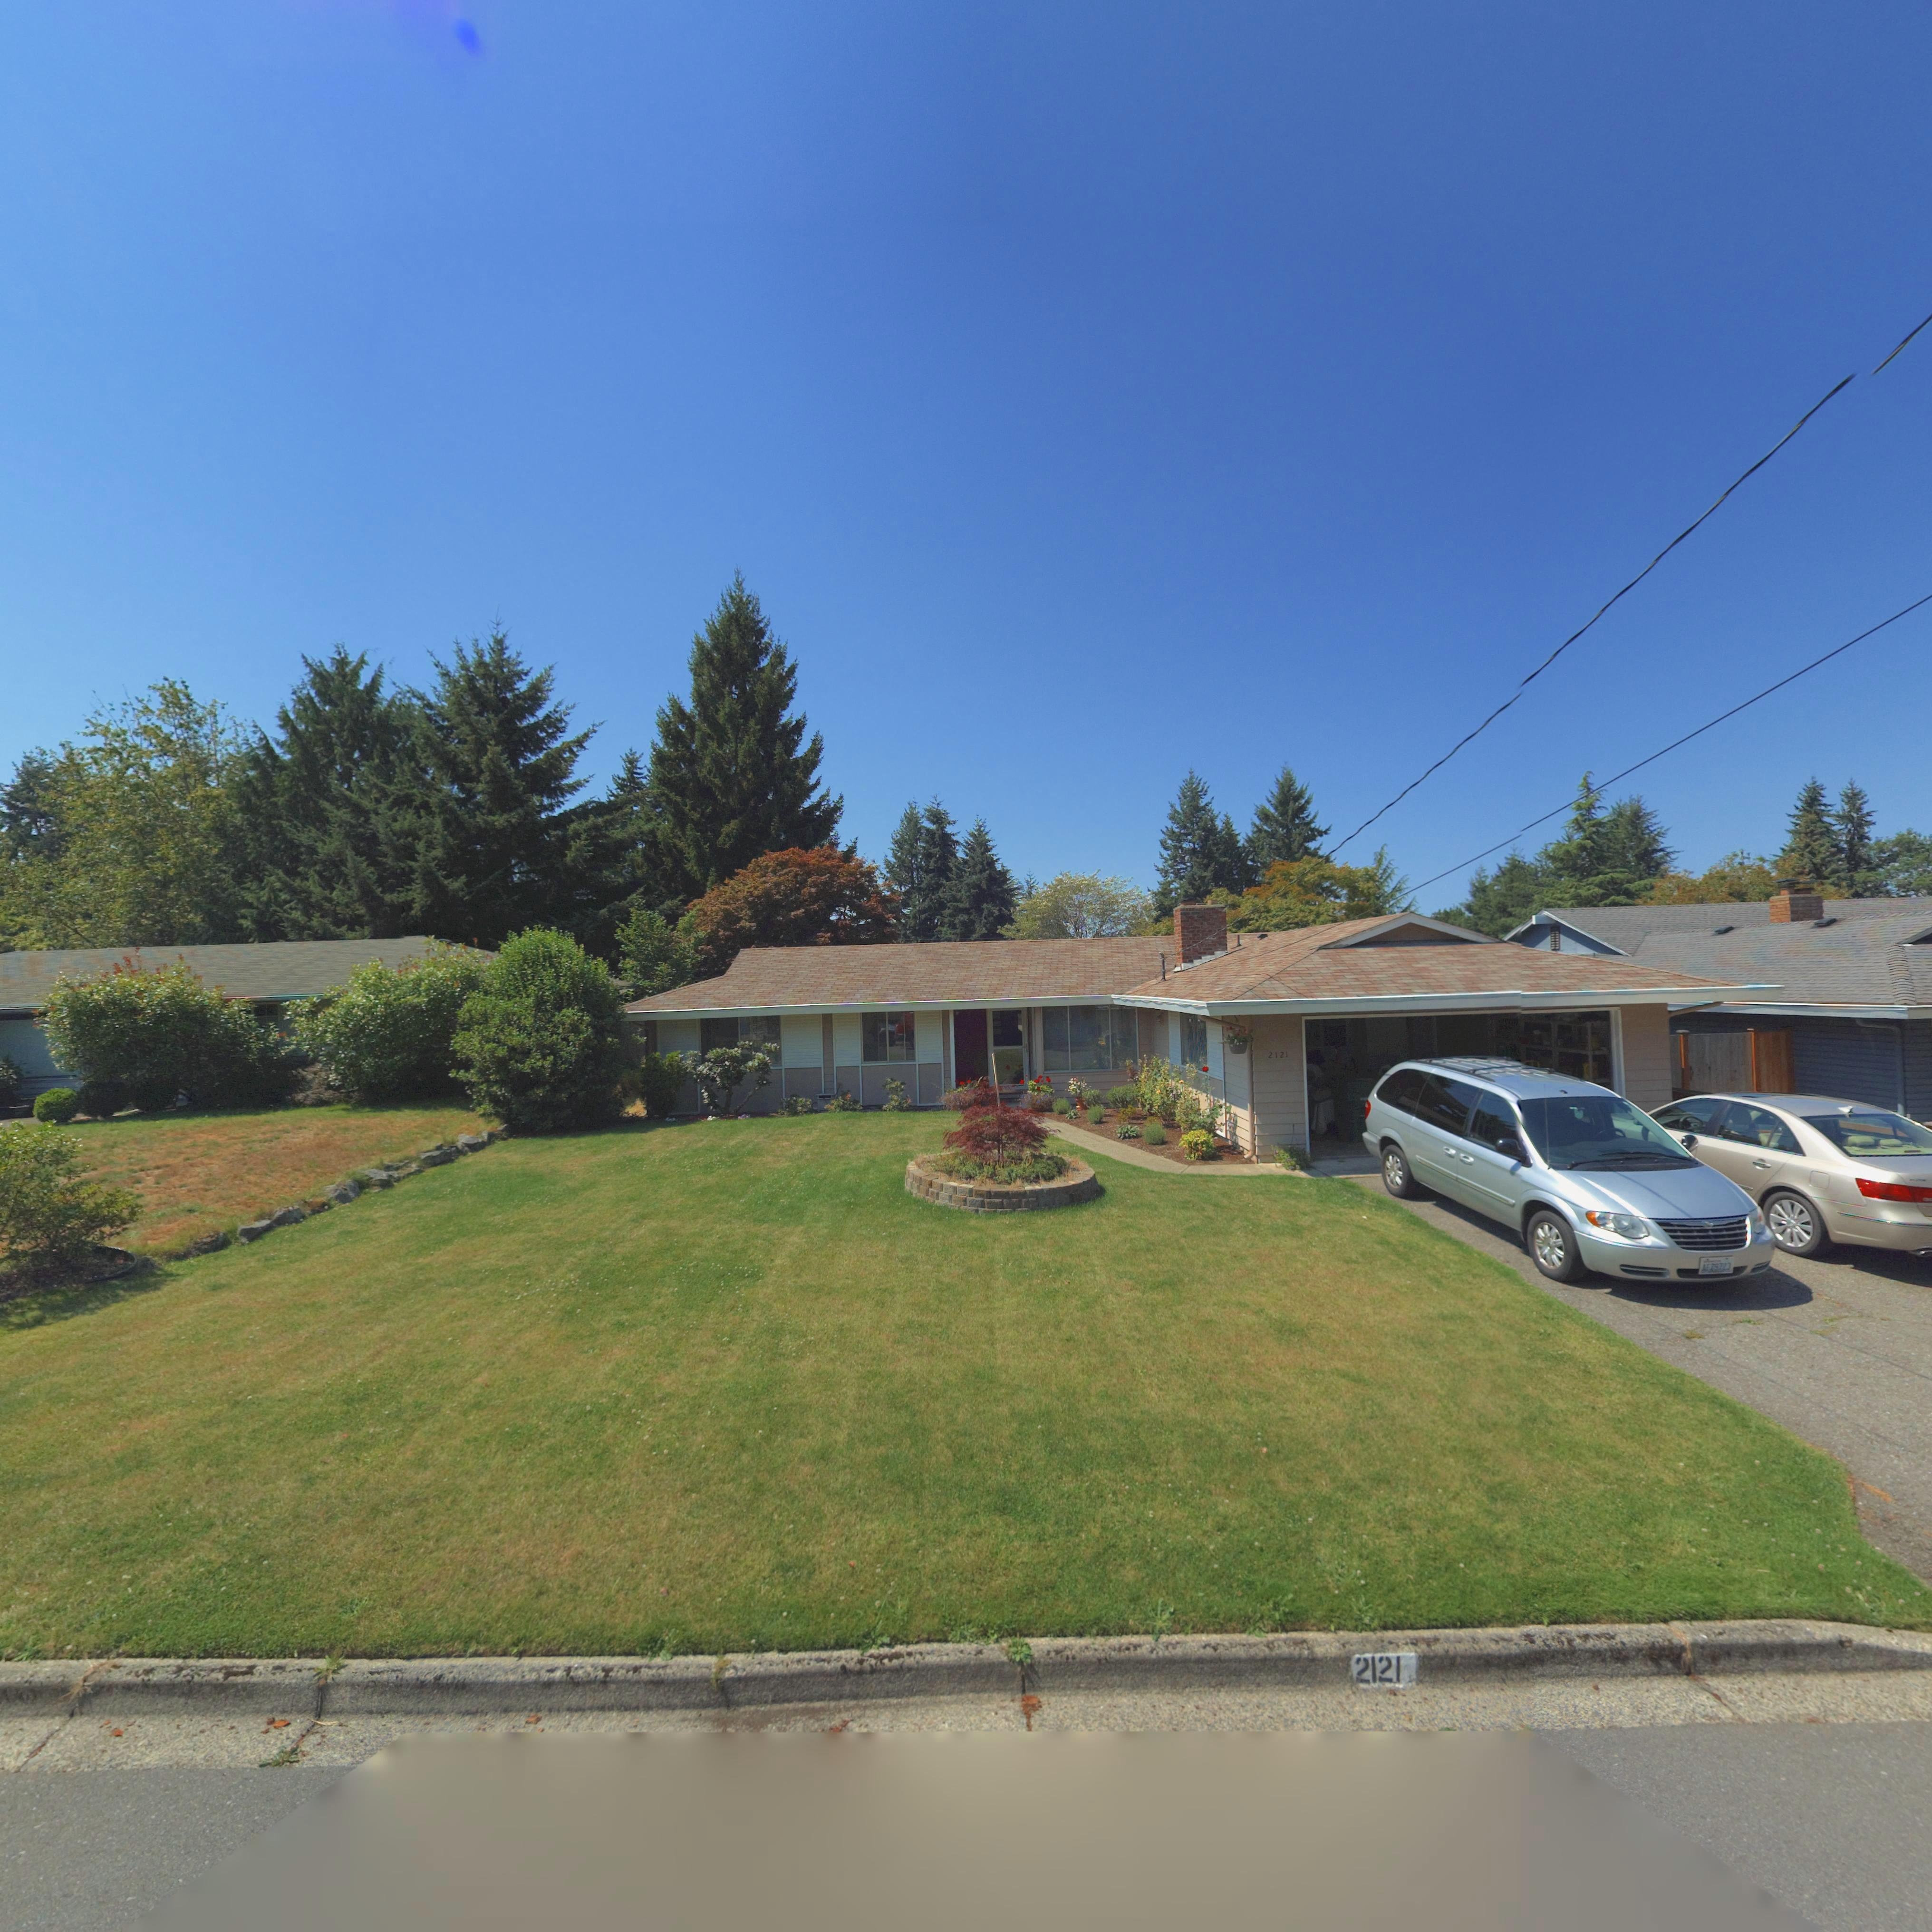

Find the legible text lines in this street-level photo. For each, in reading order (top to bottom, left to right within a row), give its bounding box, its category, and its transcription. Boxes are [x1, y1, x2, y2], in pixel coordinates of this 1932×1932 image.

[1268, 1051, 1288, 1058] StreetNumber: 2121
[1353, 1655, 1403, 1684] StreetNumber: 2121